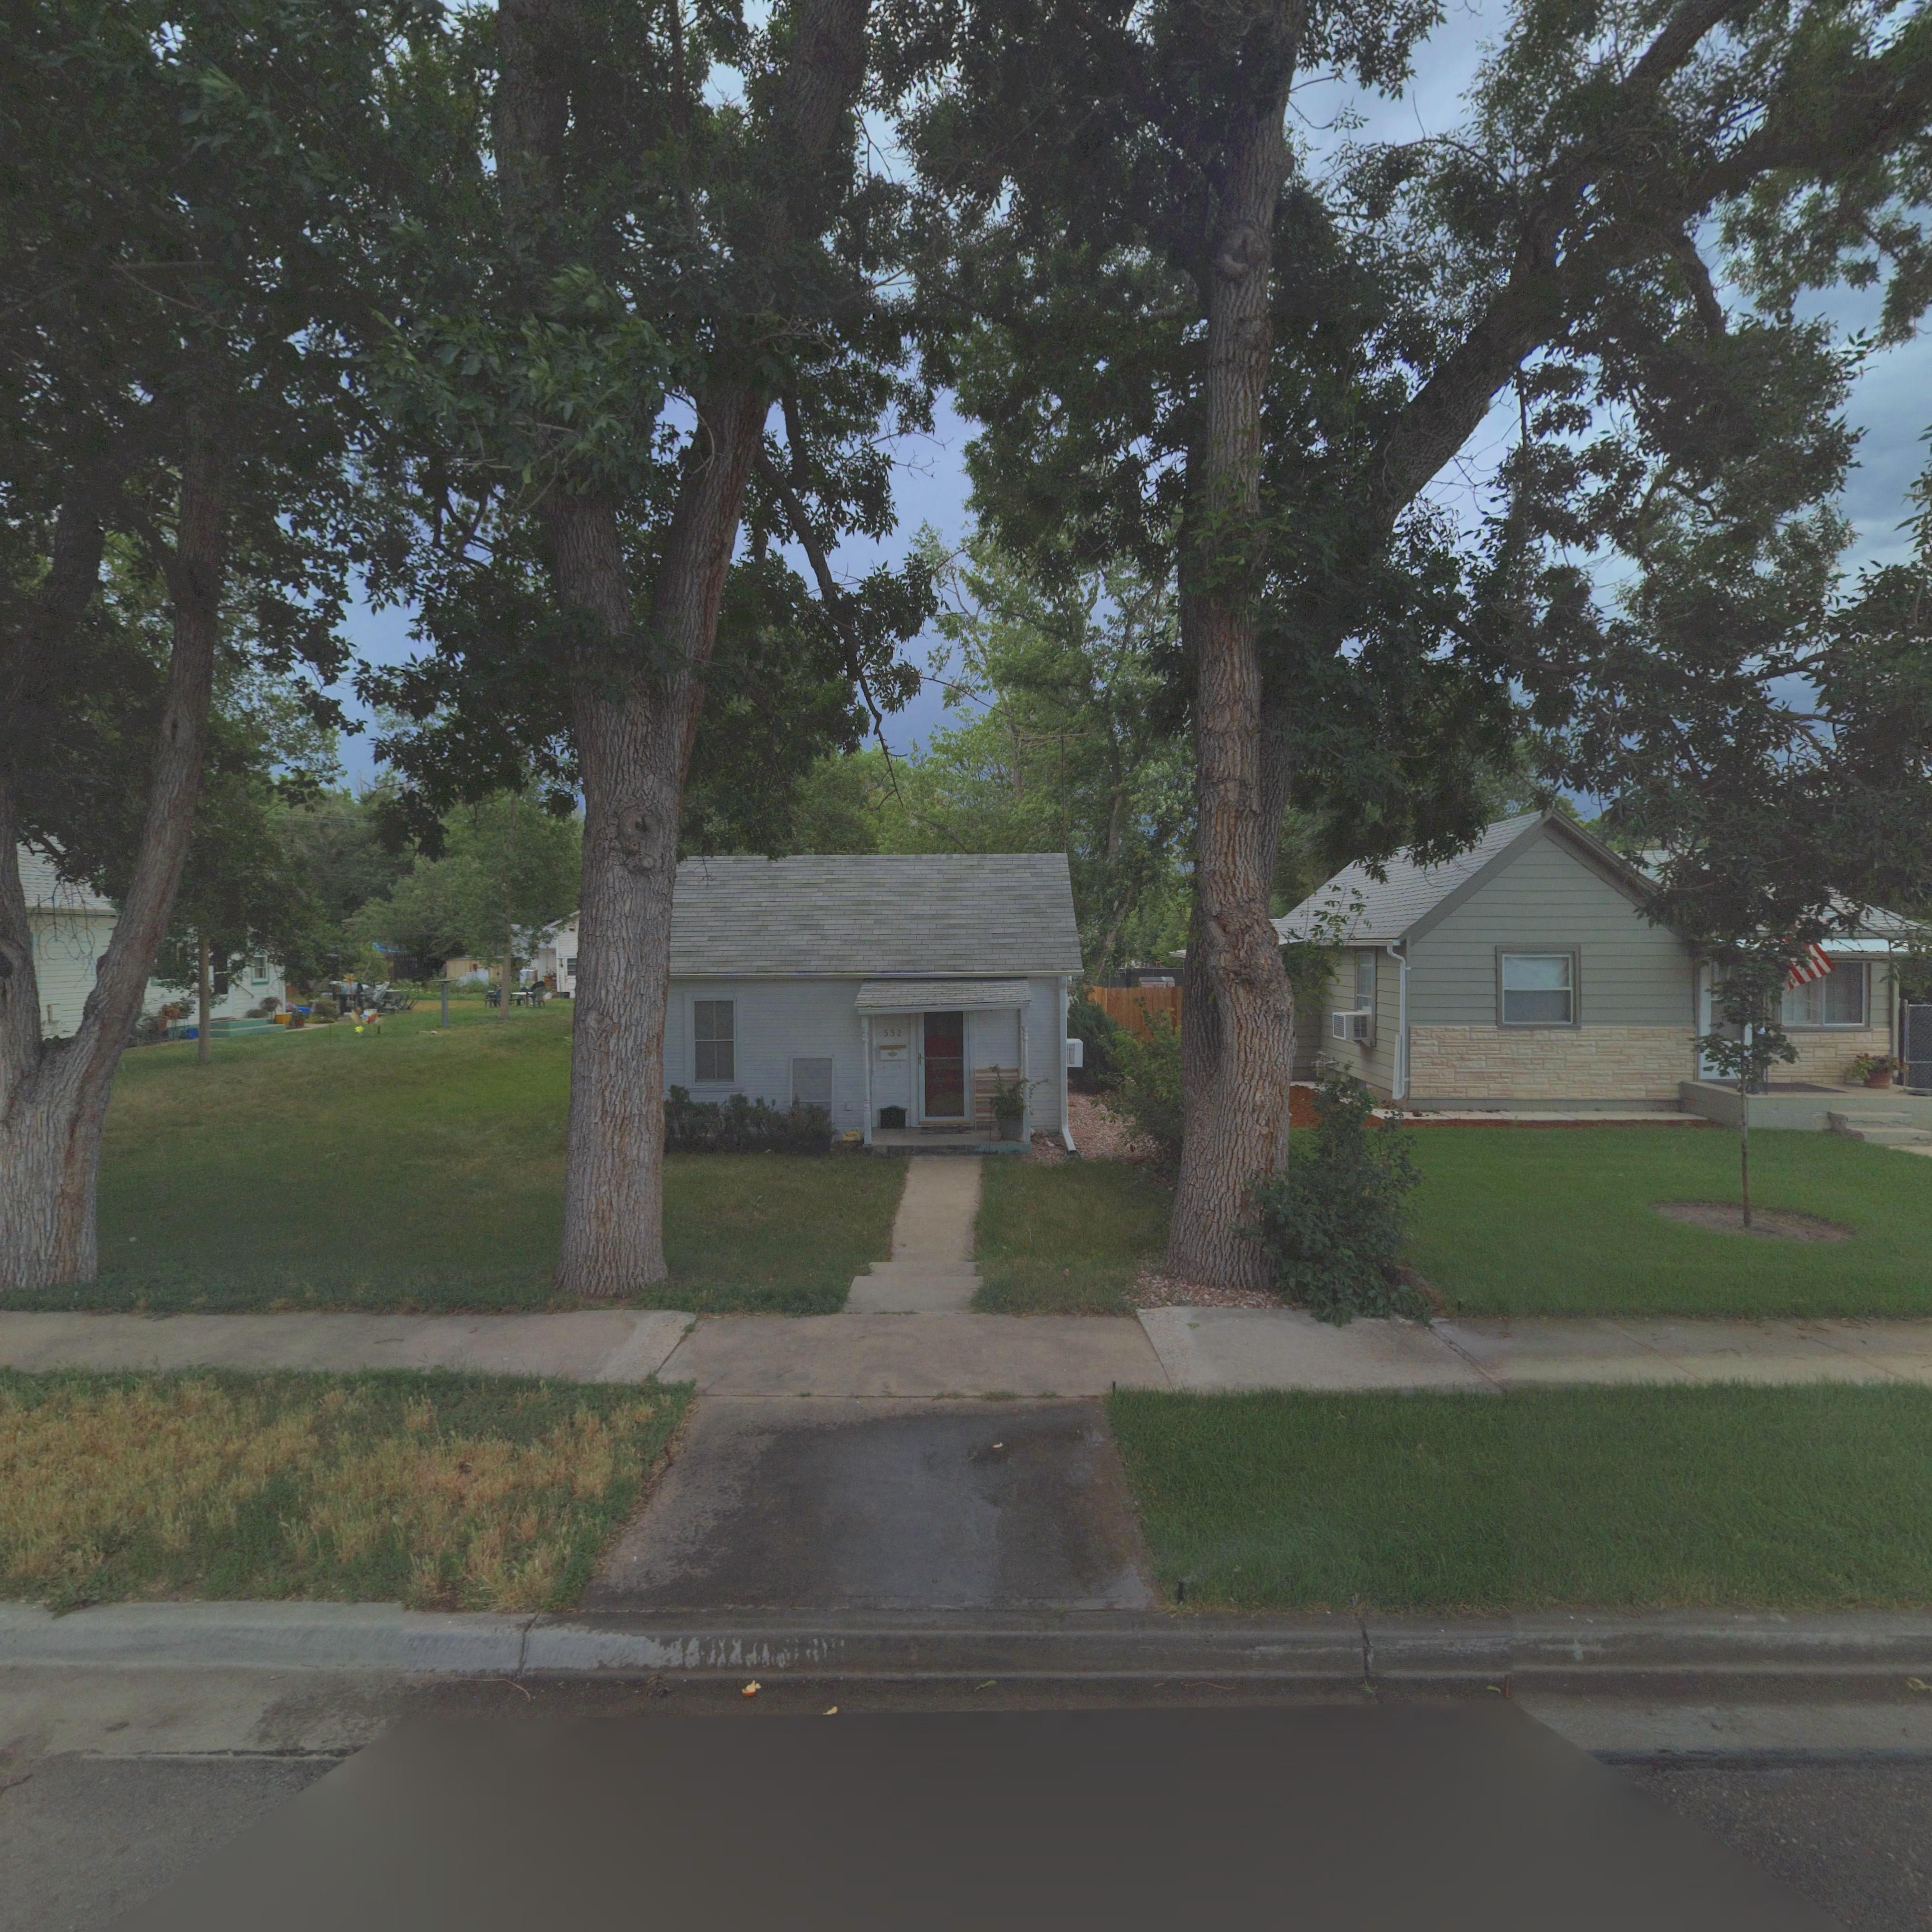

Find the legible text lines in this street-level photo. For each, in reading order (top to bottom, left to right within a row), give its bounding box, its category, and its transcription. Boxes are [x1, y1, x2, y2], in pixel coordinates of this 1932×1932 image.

[882, 1028, 903, 1037] StreetNumber: 332